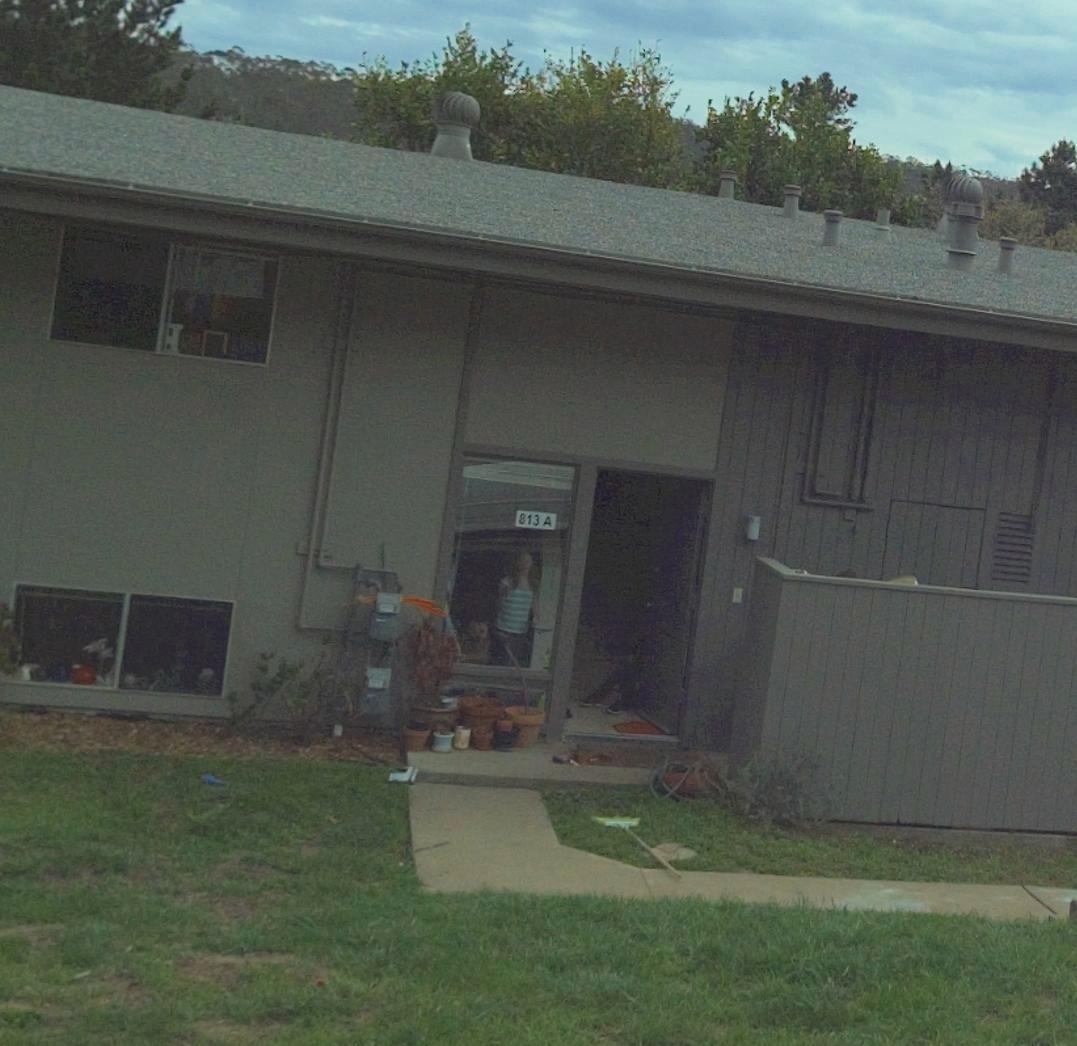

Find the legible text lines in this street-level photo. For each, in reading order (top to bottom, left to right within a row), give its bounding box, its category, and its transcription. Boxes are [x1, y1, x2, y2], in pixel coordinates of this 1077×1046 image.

[518, 512, 553, 528] StreetNumber: 813 A